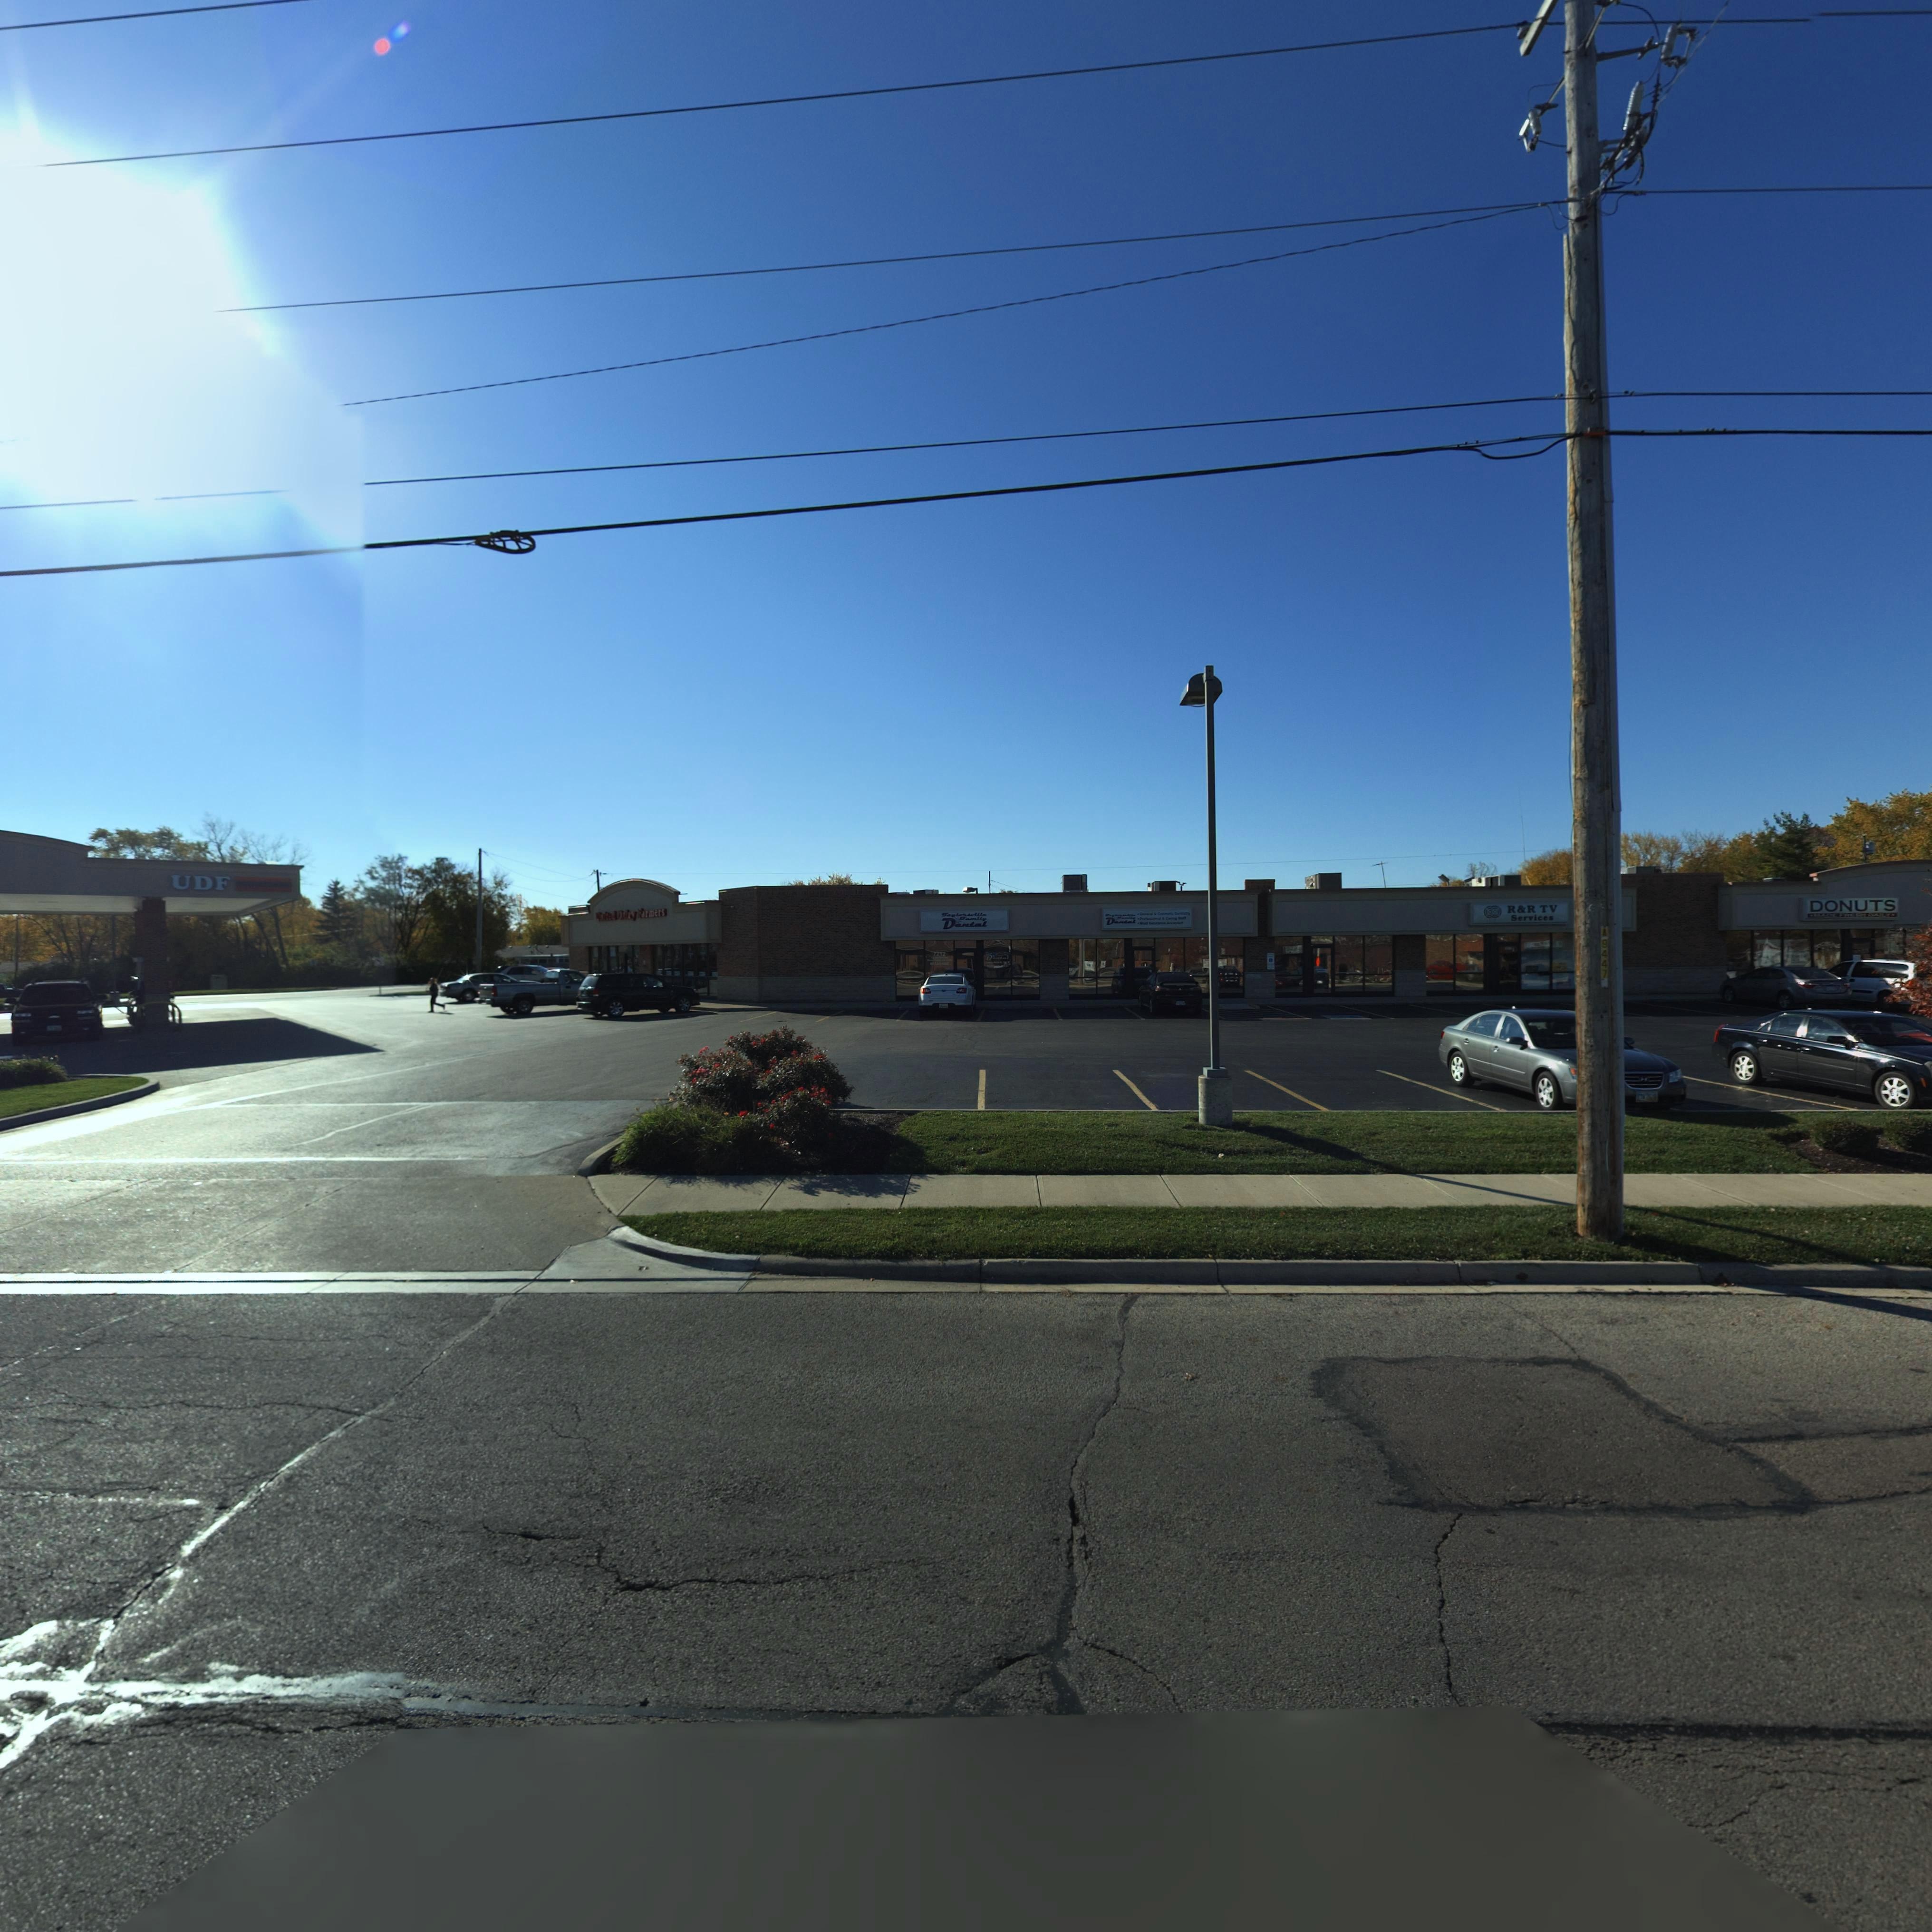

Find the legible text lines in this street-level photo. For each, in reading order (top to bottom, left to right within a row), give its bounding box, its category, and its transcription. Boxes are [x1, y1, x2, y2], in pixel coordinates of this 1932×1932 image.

[1506, 904, 1559, 914] BusinessName: R&R TV
[1809, 899, 1896, 913] BusinessName: DONUTS
[595, 908, 666, 922] BusinessName: United Dairy Farmers
[941, 917, 988, 930] BusinessName: Dental
[1105, 917, 1115, 926] BusinessName: D
[1510, 914, 1554, 922] BusinessName: Services
[932, 951, 947, 957] StreetNumber: 7212